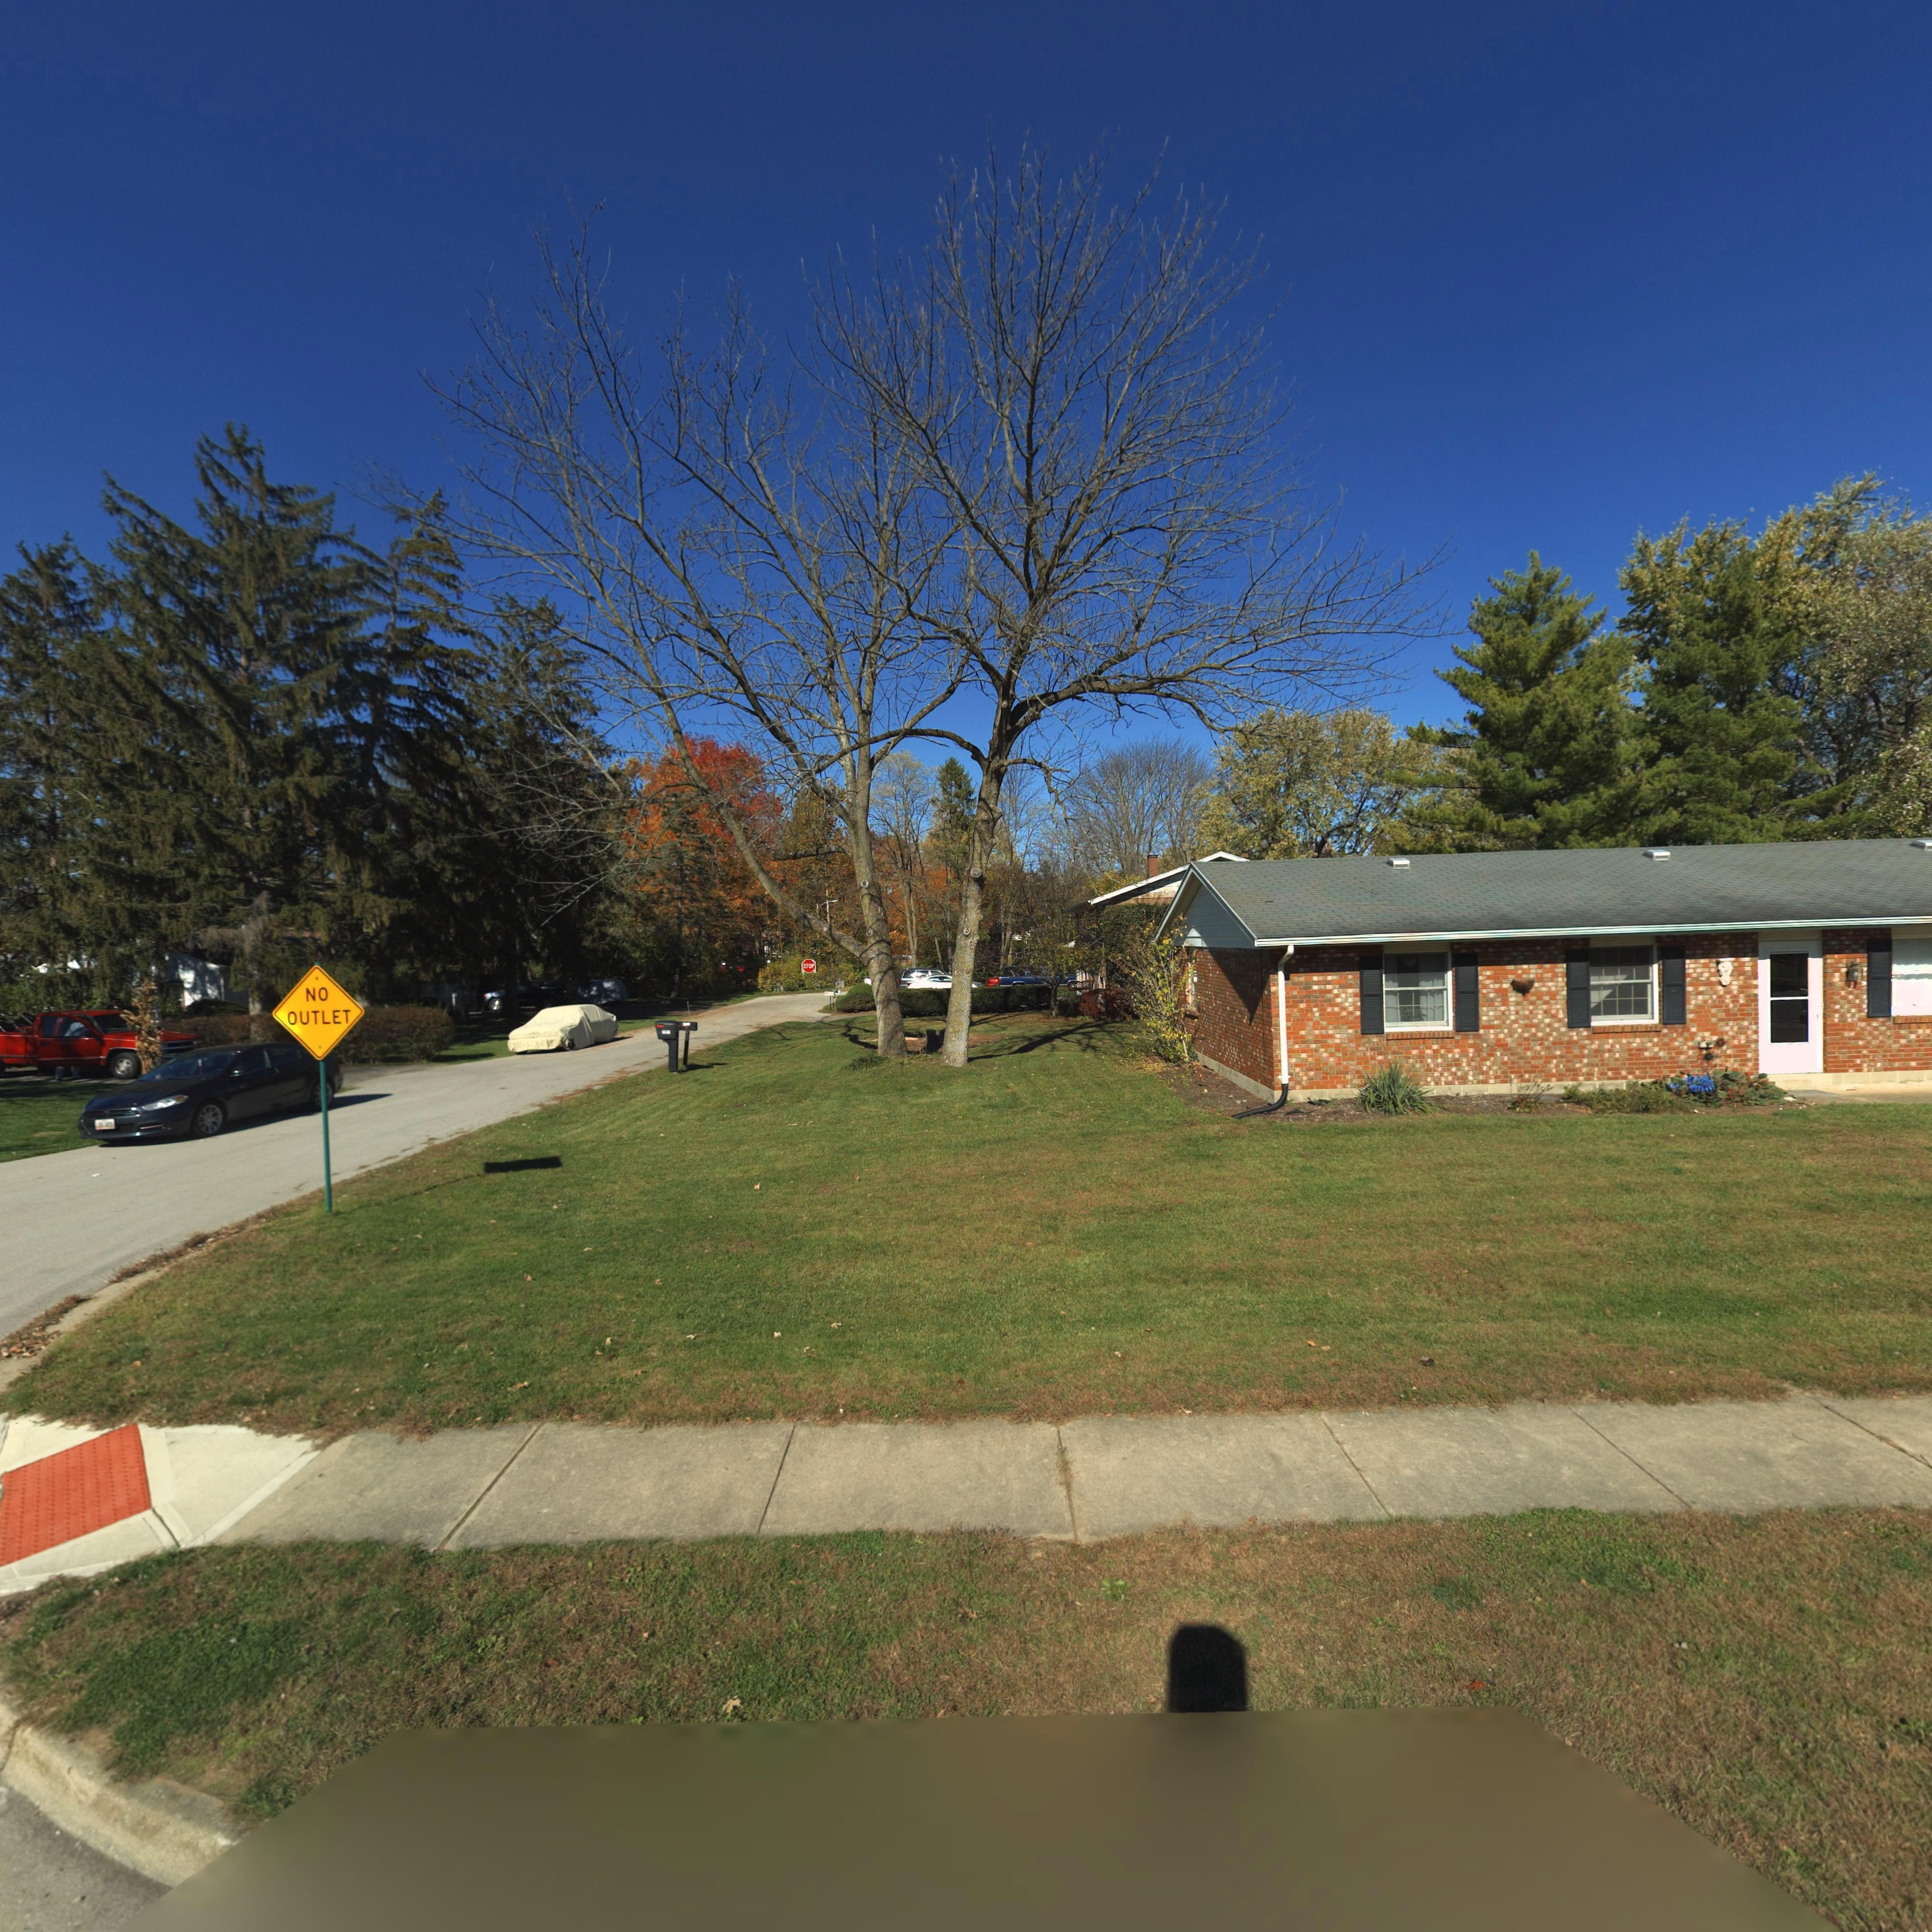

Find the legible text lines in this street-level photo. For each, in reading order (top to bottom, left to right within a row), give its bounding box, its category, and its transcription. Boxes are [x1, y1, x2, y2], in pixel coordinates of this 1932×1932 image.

[665, 1030, 668, 1034] StreetNumber: 2